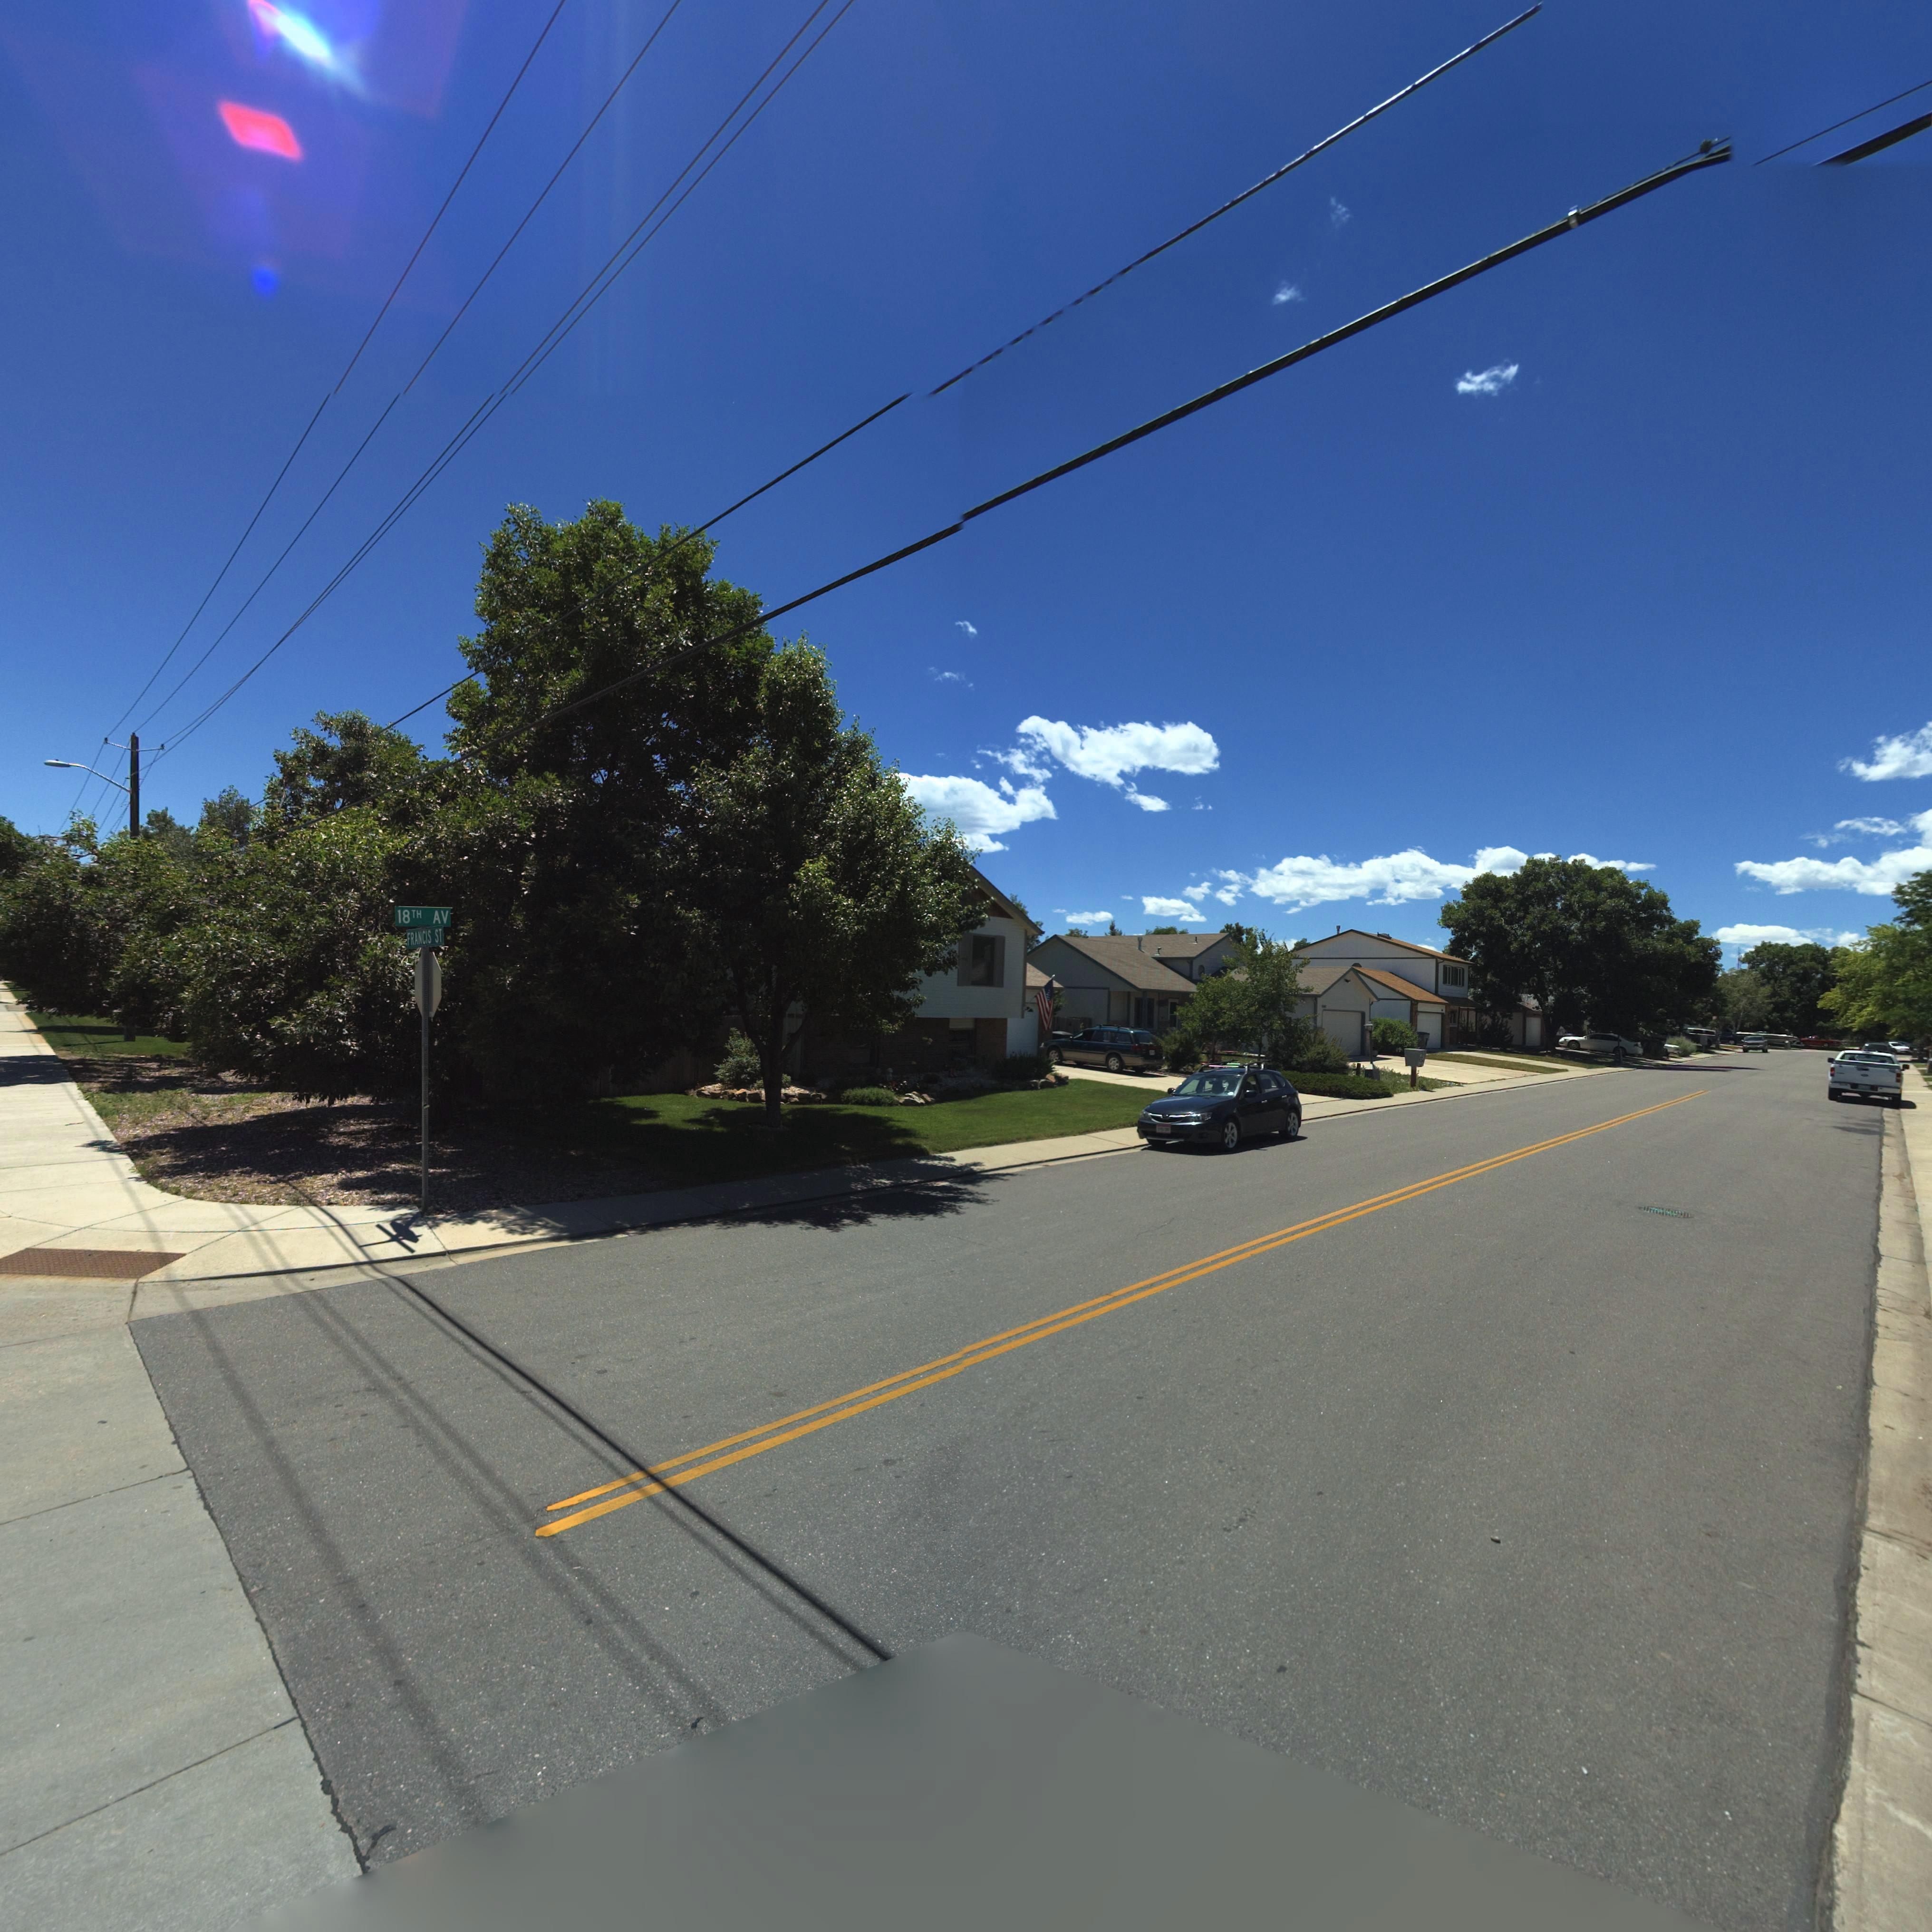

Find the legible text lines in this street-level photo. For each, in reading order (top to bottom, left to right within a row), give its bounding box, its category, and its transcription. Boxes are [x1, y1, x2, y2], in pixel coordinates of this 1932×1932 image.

[397, 908, 449, 924] StreetName: 18th AV
[406, 927, 443, 947] StreetName: FRANCIS ST